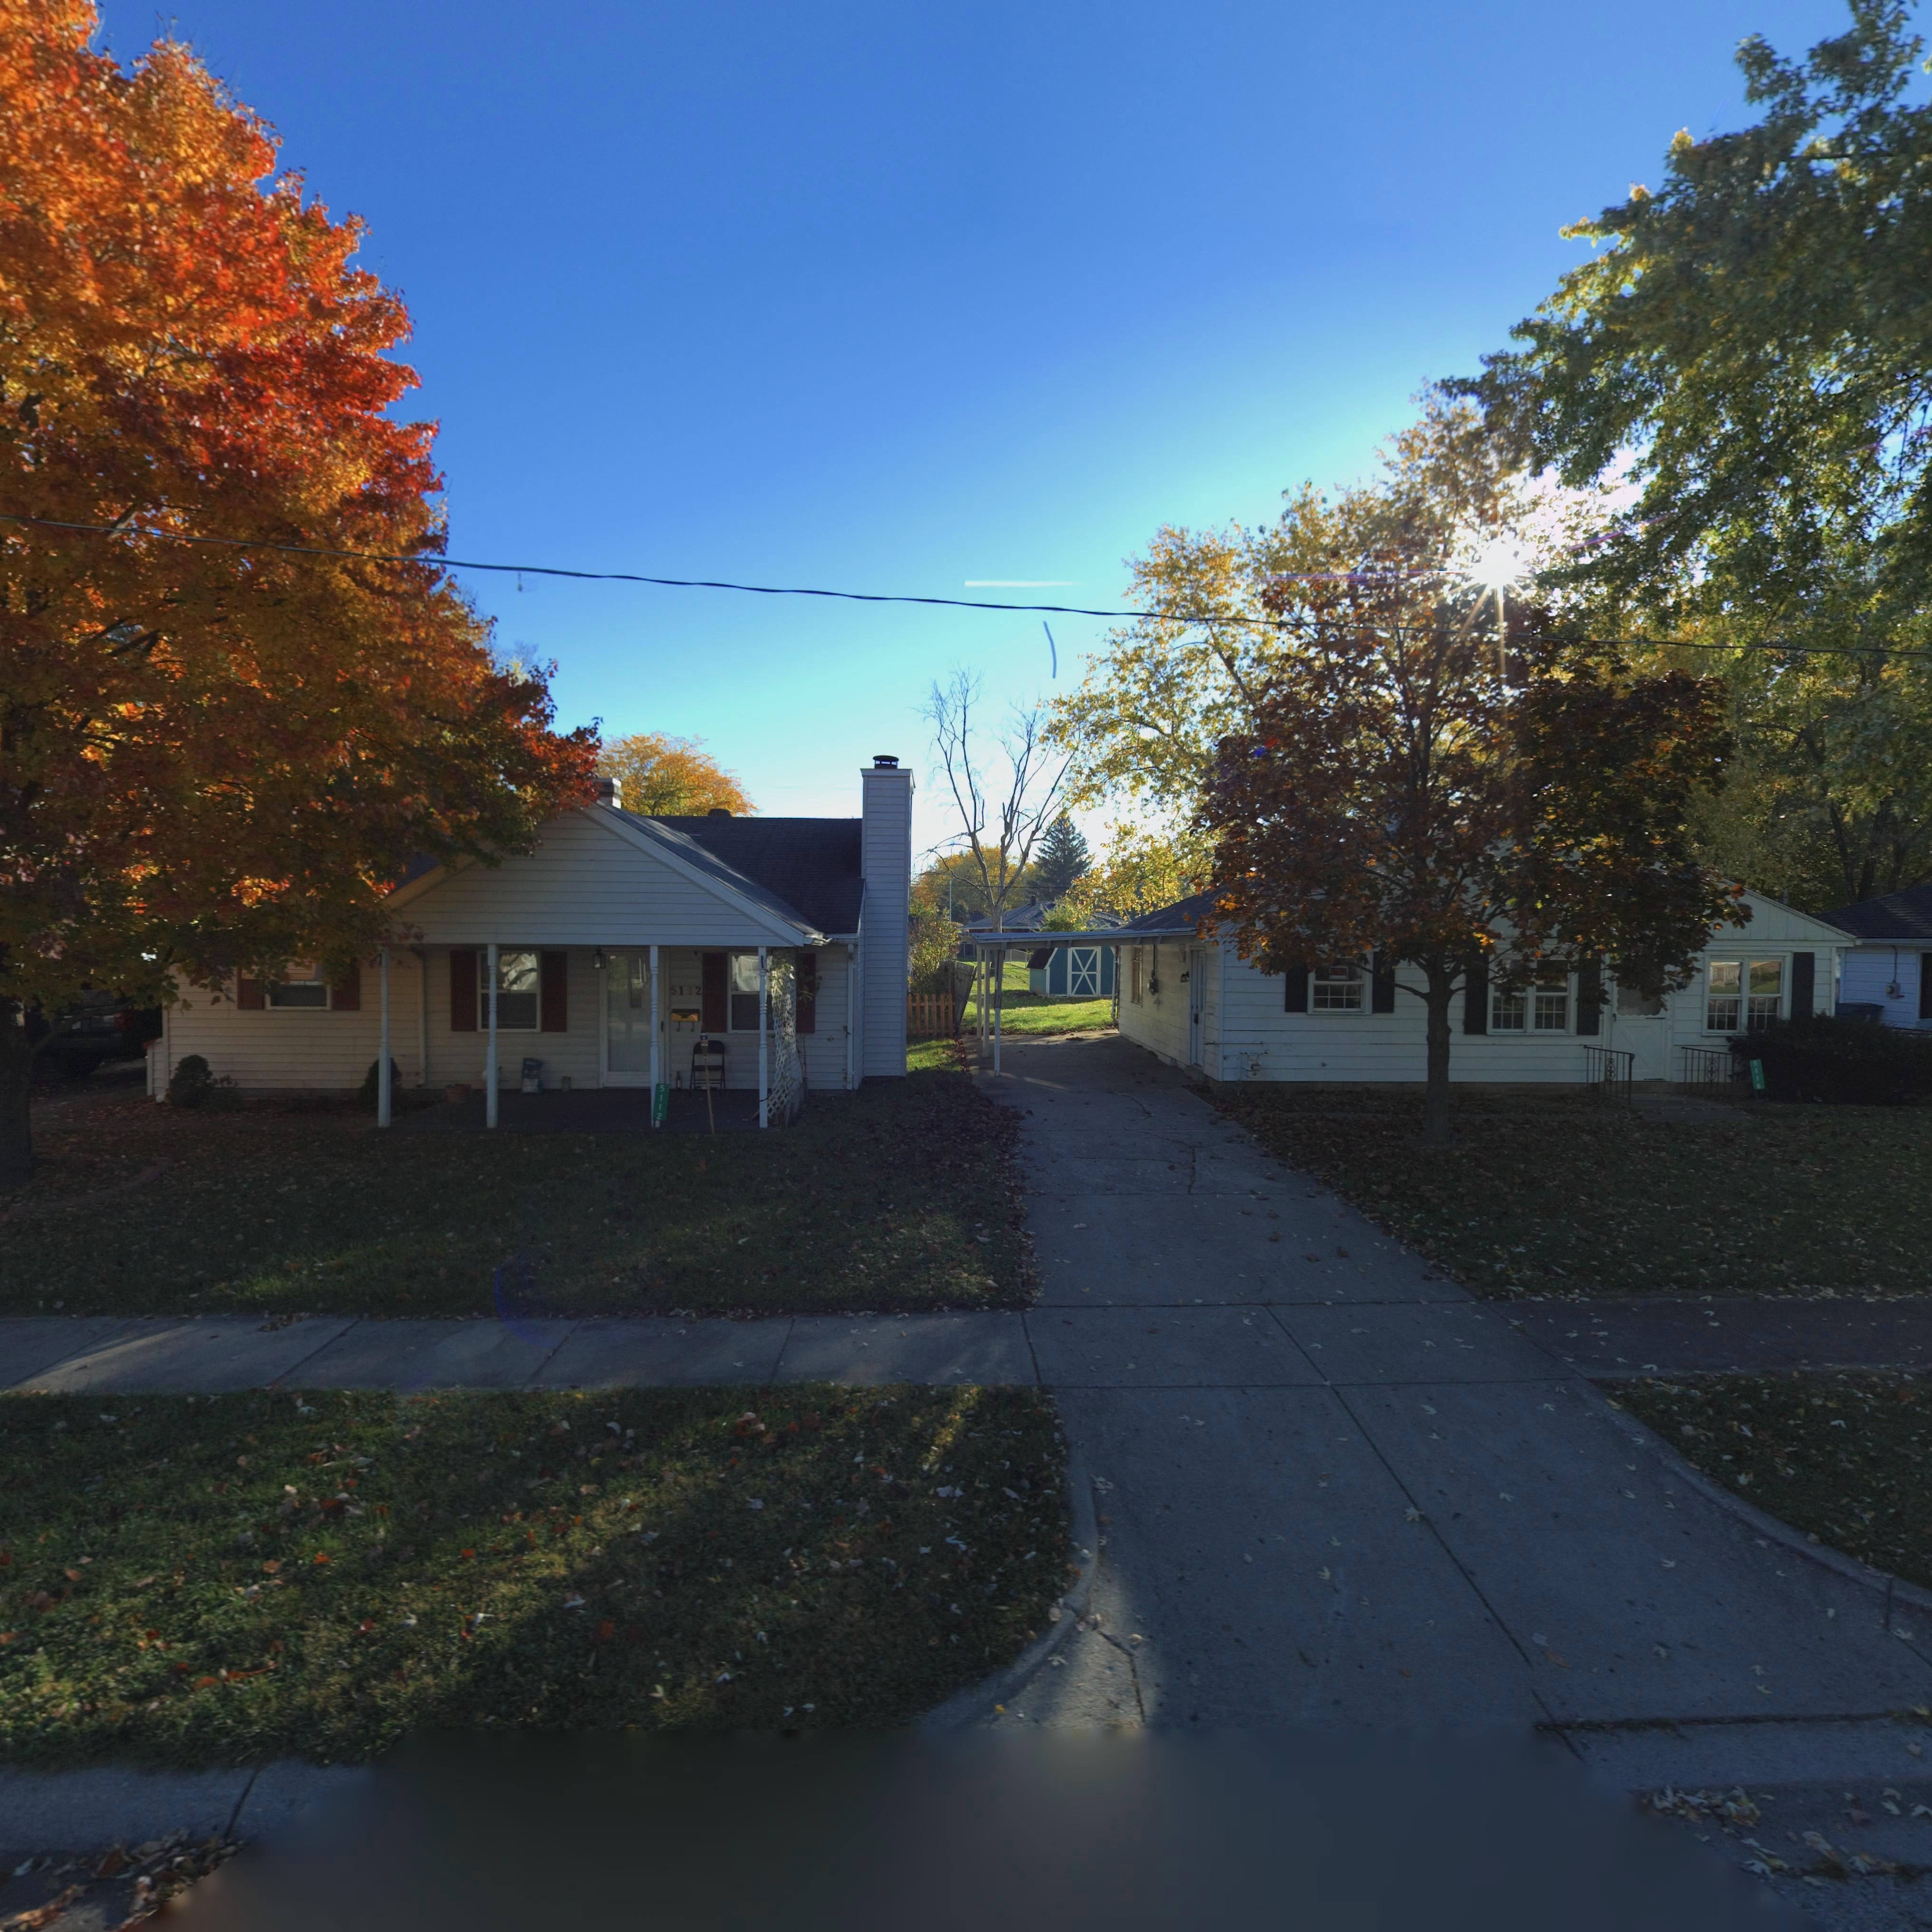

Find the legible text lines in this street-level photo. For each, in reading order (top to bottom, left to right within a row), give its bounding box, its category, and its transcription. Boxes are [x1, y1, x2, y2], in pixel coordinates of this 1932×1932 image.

[670, 985, 702, 996] StreetNumber: 5112
[1752, 1060, 1762, 1089] StreetNumber: 5116
[656, 1084, 665, 1121] StreetNumber: 5112